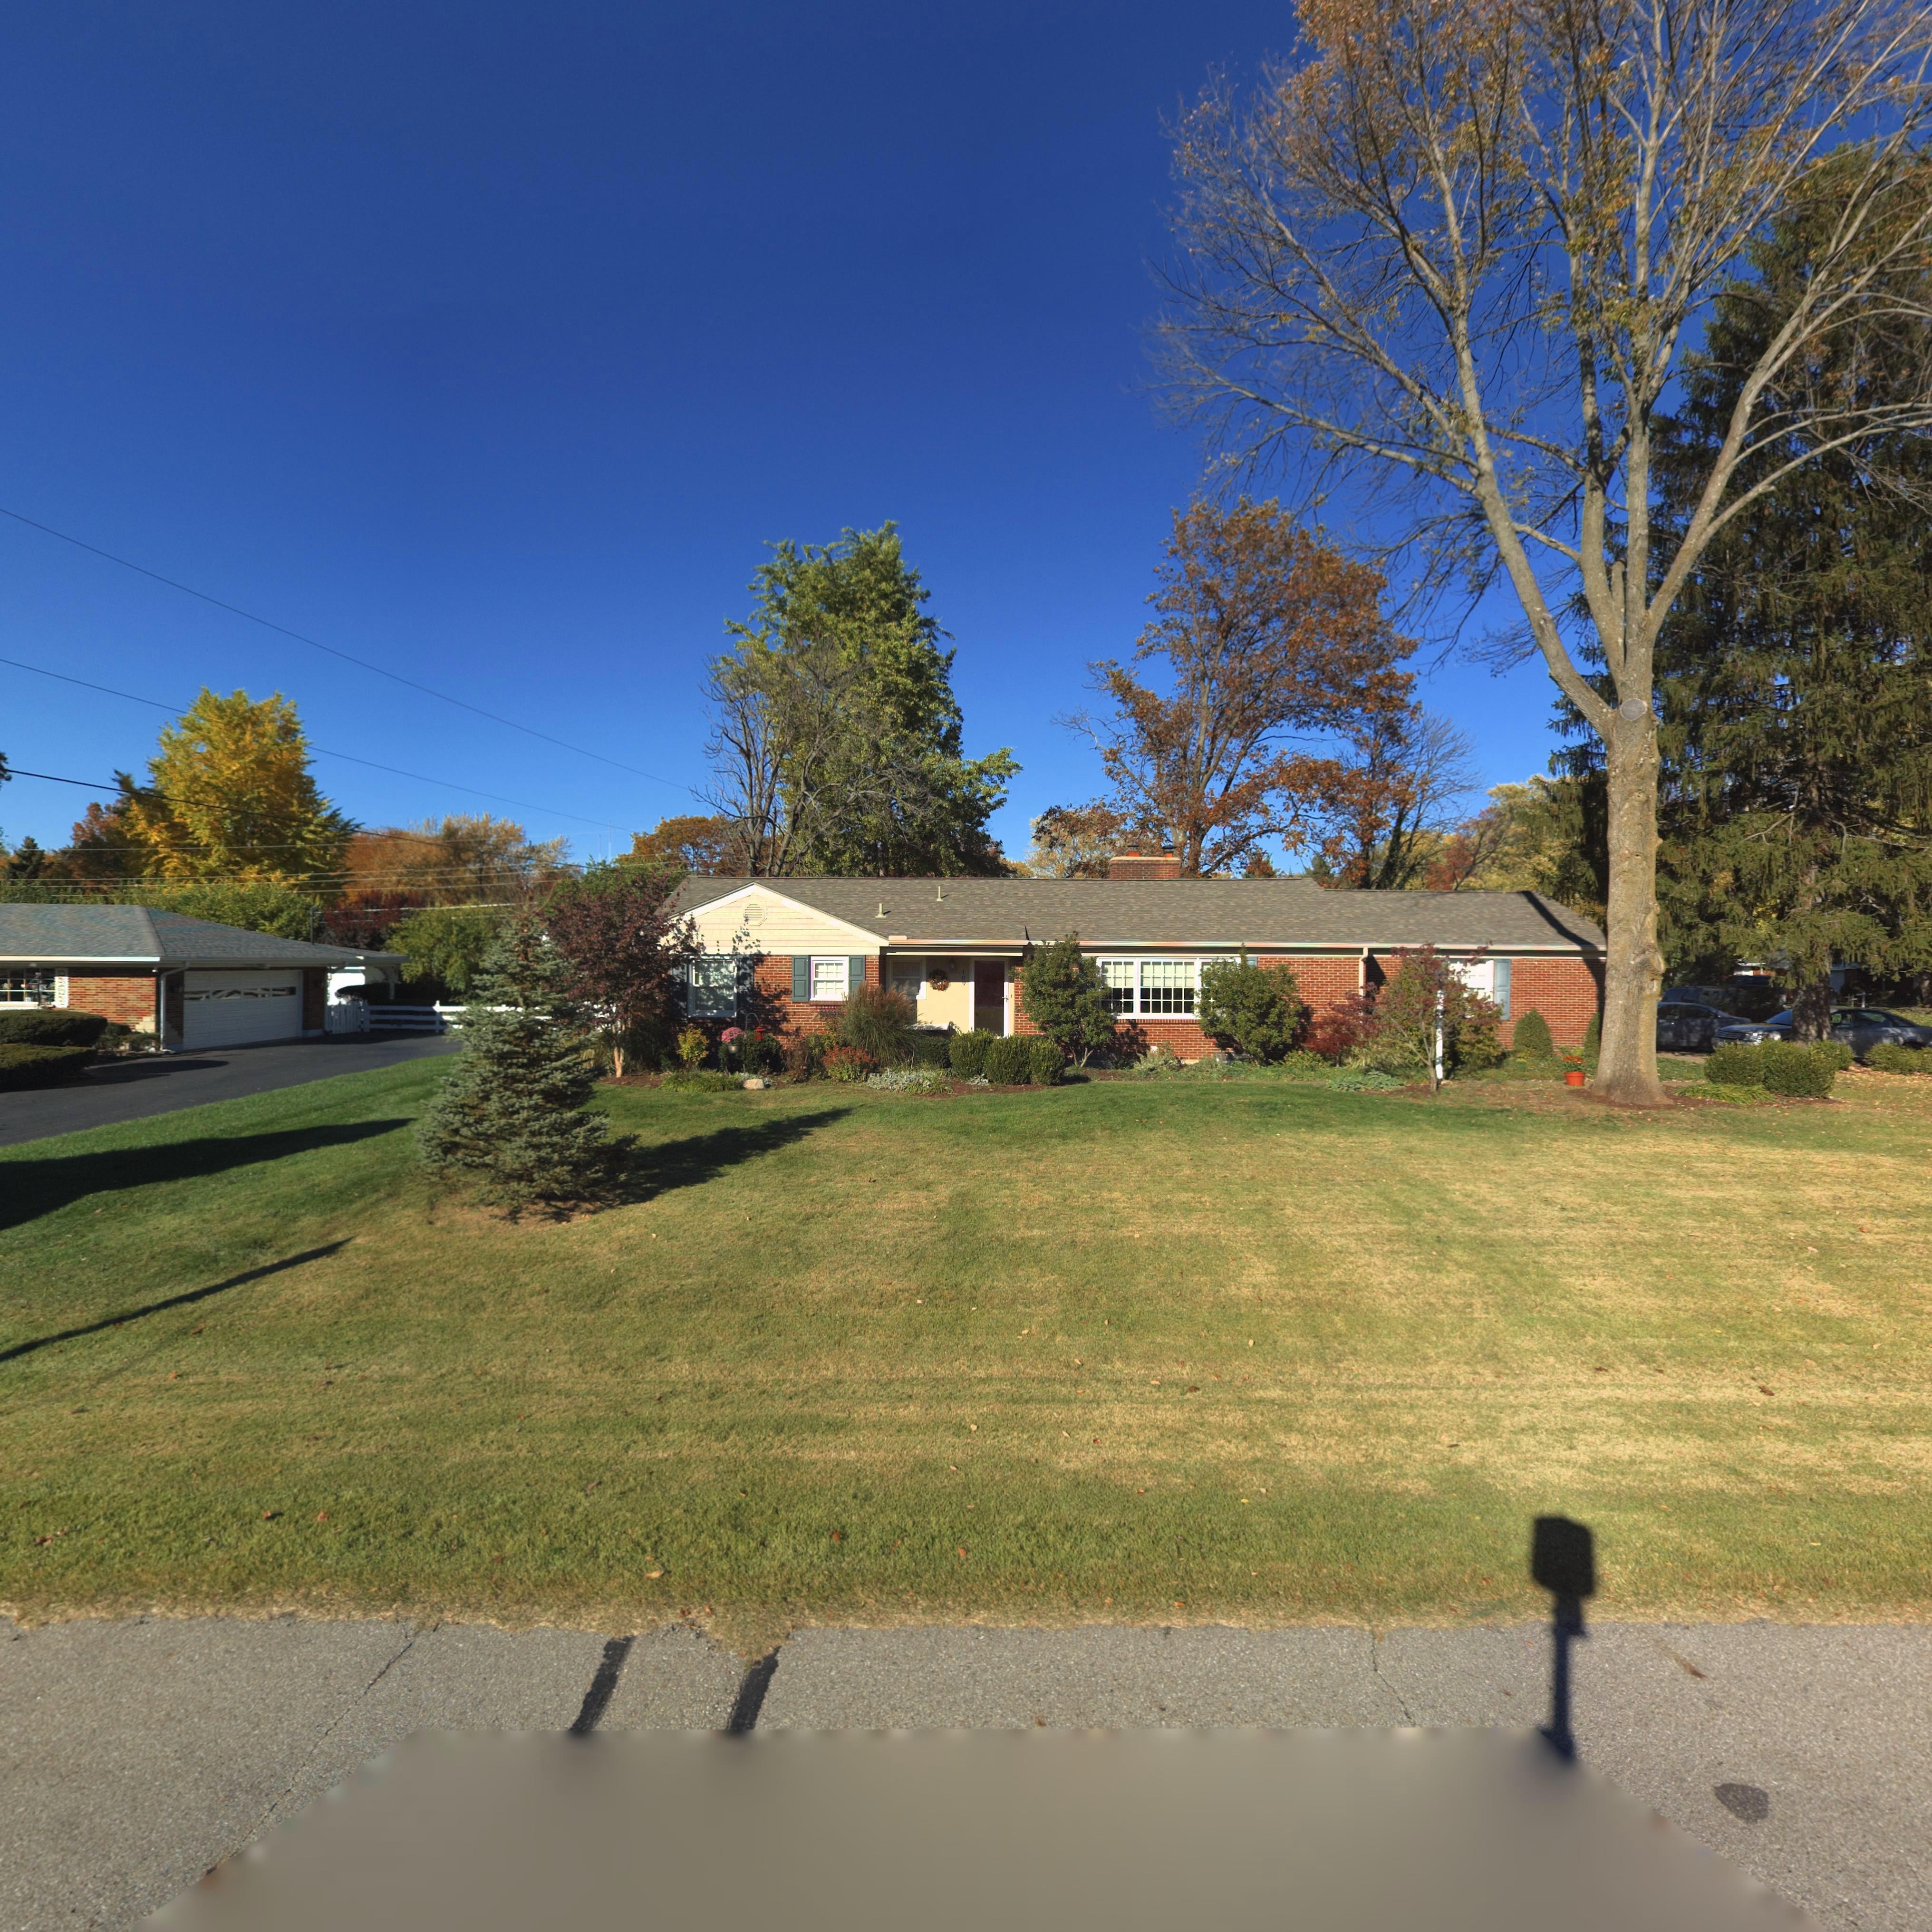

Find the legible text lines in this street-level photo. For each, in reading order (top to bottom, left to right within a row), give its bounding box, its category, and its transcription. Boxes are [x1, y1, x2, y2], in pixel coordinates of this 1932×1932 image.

[961, 969, 966, 986] StreetNumber: 109